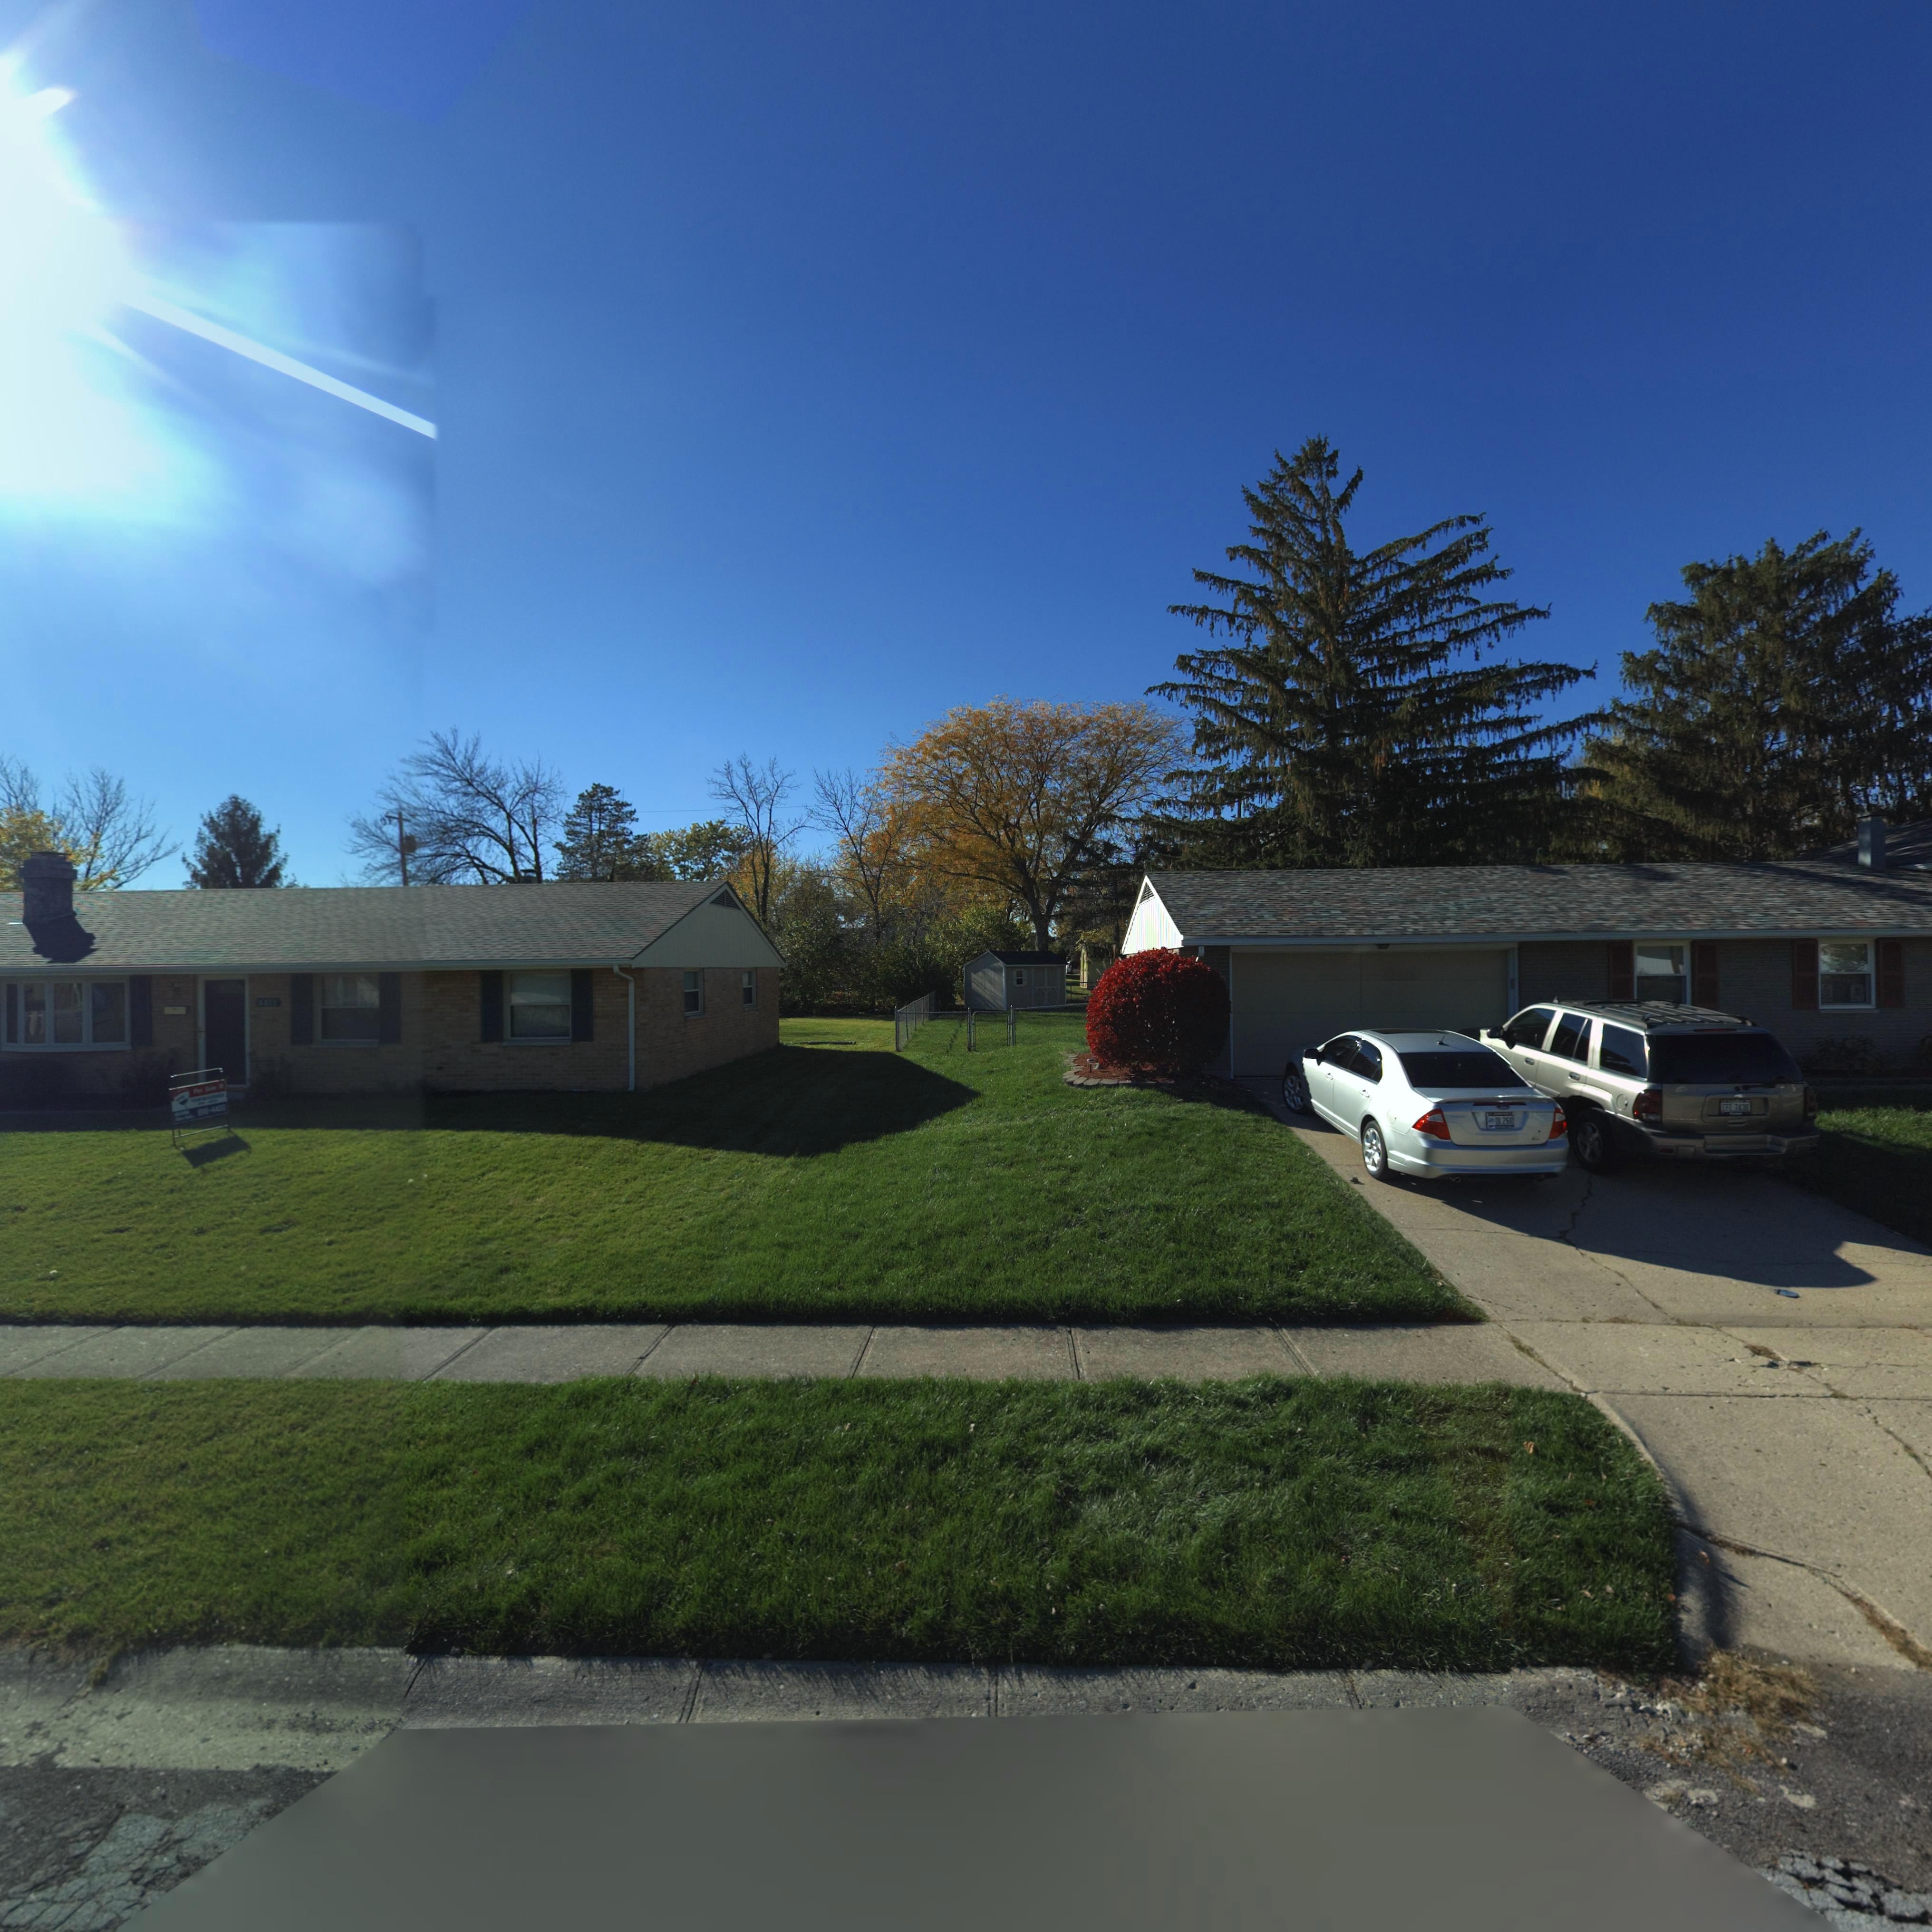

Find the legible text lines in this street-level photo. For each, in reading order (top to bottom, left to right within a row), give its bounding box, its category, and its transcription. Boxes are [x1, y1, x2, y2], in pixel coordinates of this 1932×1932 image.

[257, 998, 277, 1006] StreetNumber: 68**